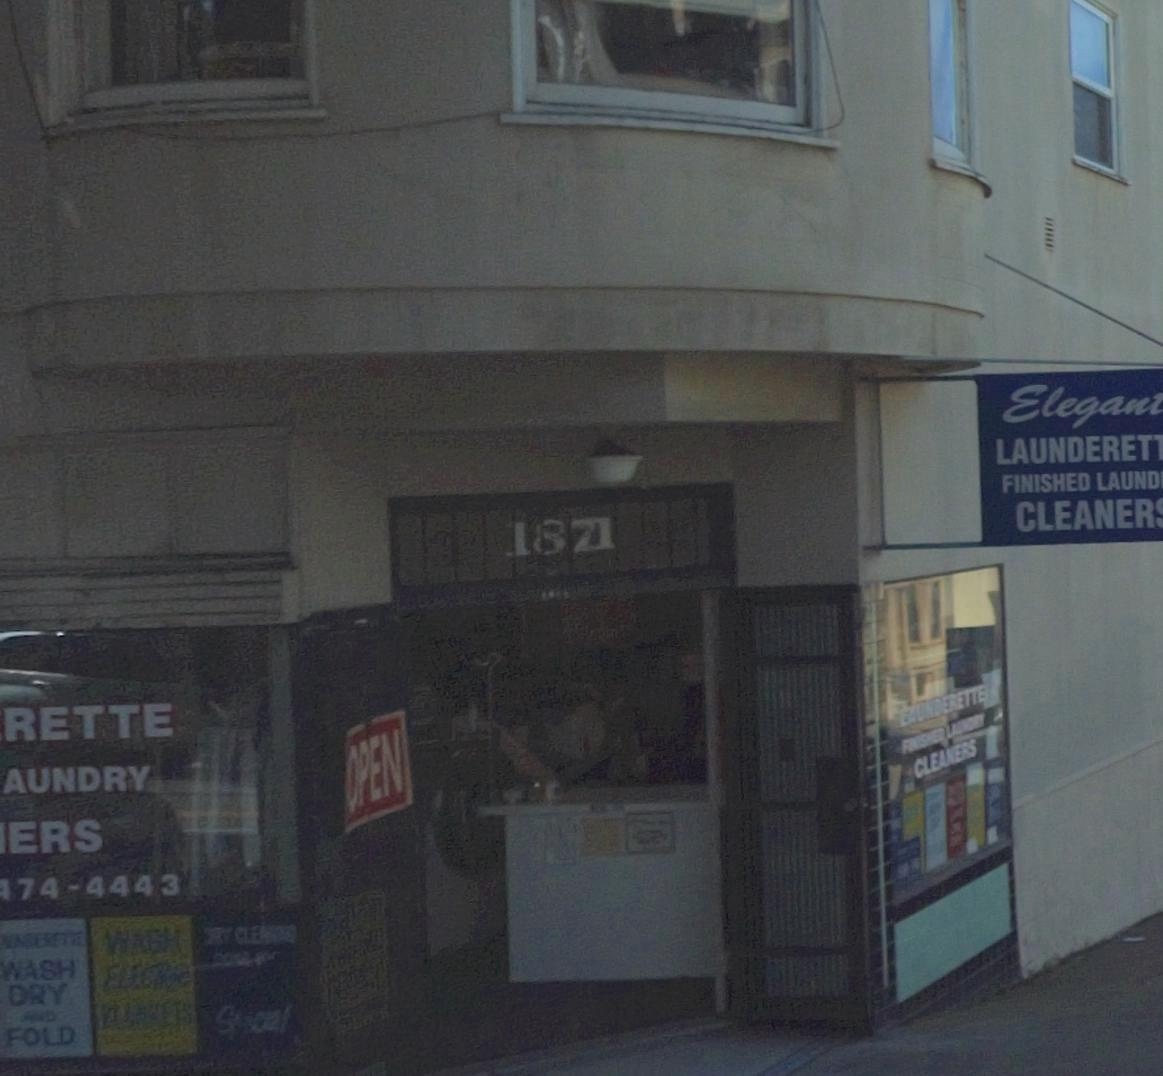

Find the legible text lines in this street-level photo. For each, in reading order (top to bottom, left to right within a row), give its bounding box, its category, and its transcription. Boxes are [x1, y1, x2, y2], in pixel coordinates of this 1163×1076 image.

[999, 380, 1153, 431] None: Elegan
[993, 433, 1154, 467] None: LAUNDERET
[1000, 469, 1161, 495] None: FINISHED LAUND
[1014, 497, 1156, 534] None: CLEANE
[502, 514, 618, 562] StreetNumber: 1871
[2, 700, 176, 743] BusinessName: RETTE
[897, 682, 987, 732] BusinessName: EAUNBERETT*
[1, 763, 153, 797] None: AUNDRY
[345, 727, 407, 815] None: OPEN
[911, 736, 979, 782] None: CLEANERS
[8, 816, 106, 857] None: ERS
[16, 871, 183, 902] None: 74-4443
[97, 922, 186, 961] None: WA*H
[19, 955, 78, 984] None: ASH
[7, 980, 70, 1007] None: DRY
[4, 1024, 77, 1049] None: FOLD
[44, 1008, 59, 1023] None: D
[214, 1001, 238, 1039] None: S